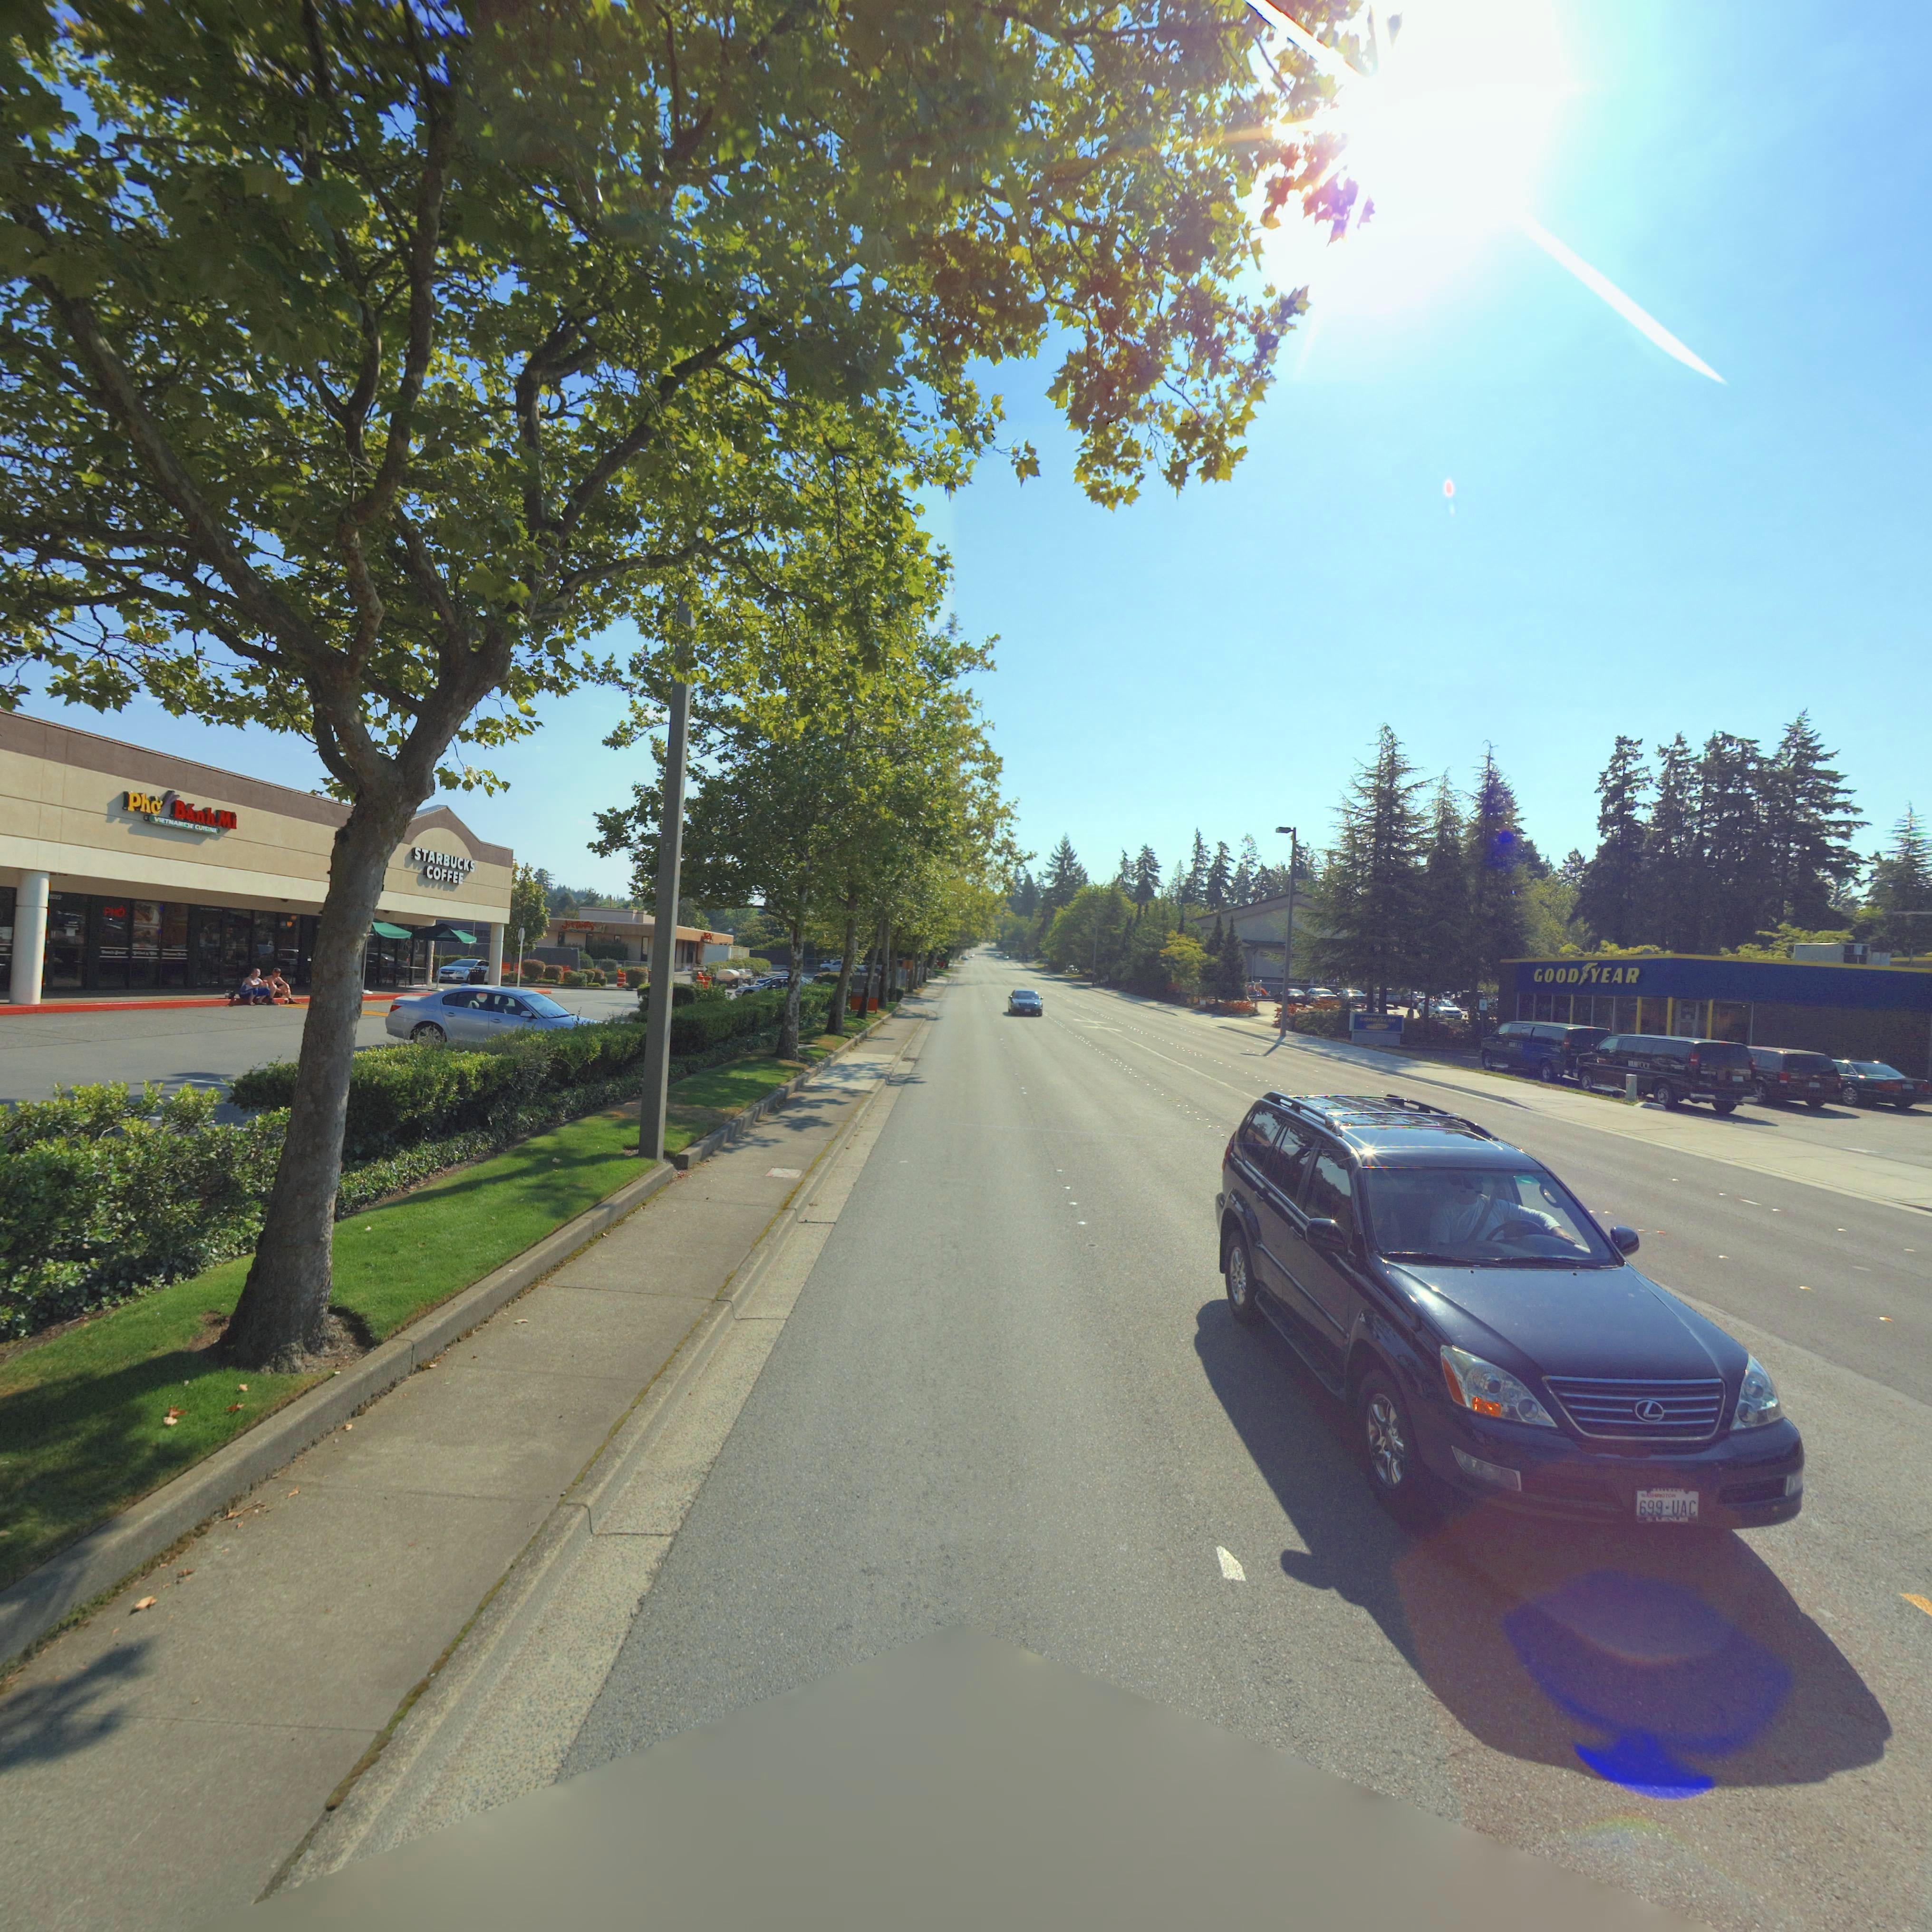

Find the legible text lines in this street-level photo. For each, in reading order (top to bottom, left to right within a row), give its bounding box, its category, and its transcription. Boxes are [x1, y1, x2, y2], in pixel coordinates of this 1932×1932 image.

[127, 789, 237, 830] BusinessName: Ph* B*nh Mi
[153, 816, 217, 833] BusinessName: VIETNAMESE CUISINE
[415, 847, 474, 872] BusinessName: STARBUCKS
[426, 864, 464, 884] BusinessName: COFFEE
[1533, 961, 1641, 986] BusinessName: GOOD*YEAR
[1360, 1016, 1396, 1022] BusinessName: GOOD*YEAR